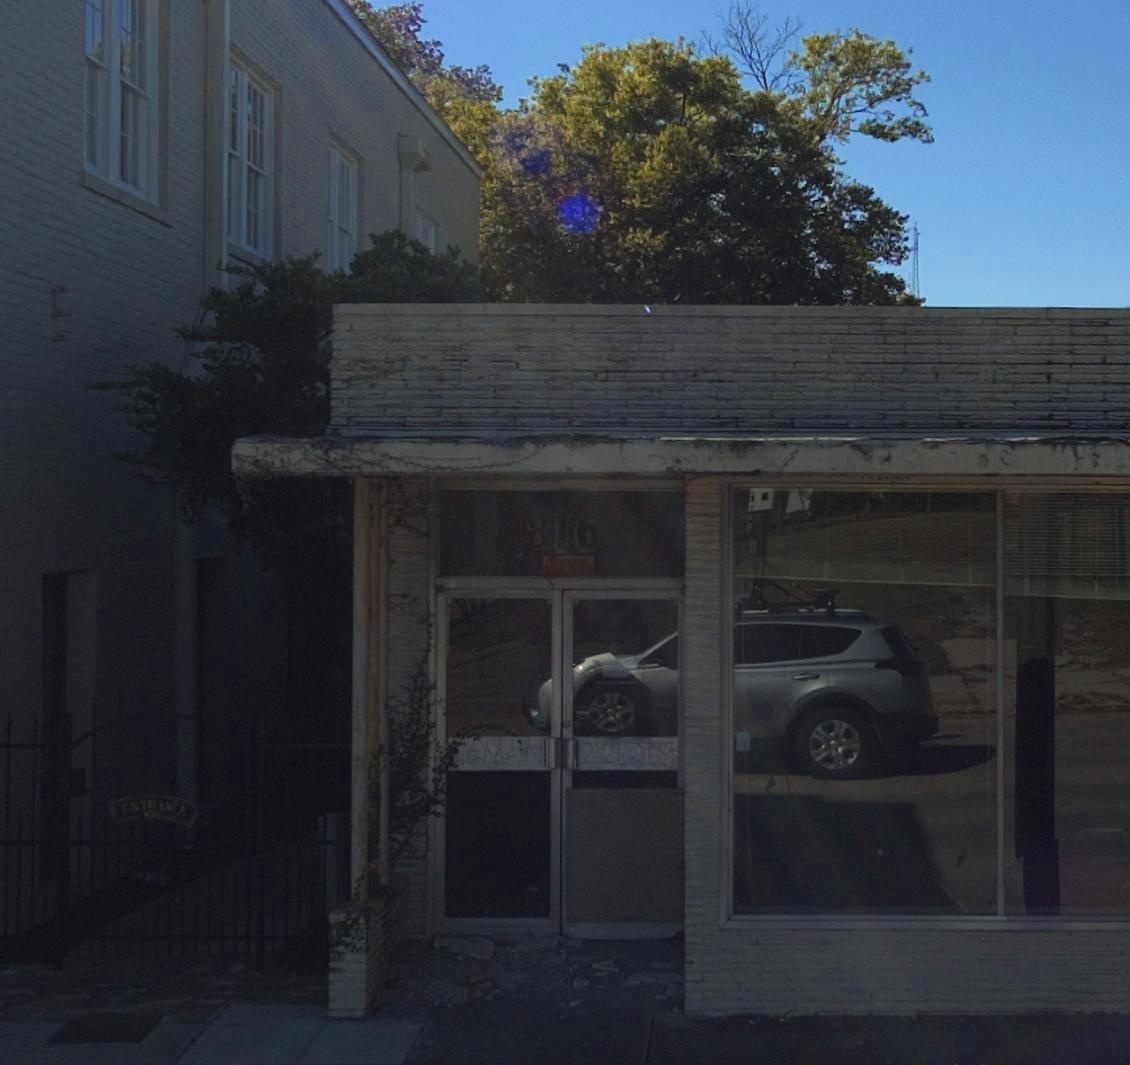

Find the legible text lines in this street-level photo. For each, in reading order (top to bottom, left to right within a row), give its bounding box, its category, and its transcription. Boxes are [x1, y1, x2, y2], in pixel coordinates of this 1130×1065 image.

[524, 508, 601, 557] StreetNumber: 816
[480, 741, 546, 768] None: MAN
[577, 738, 676, 768] None: 22DTV
[116, 797, 193, 821] None: ENTRANCE